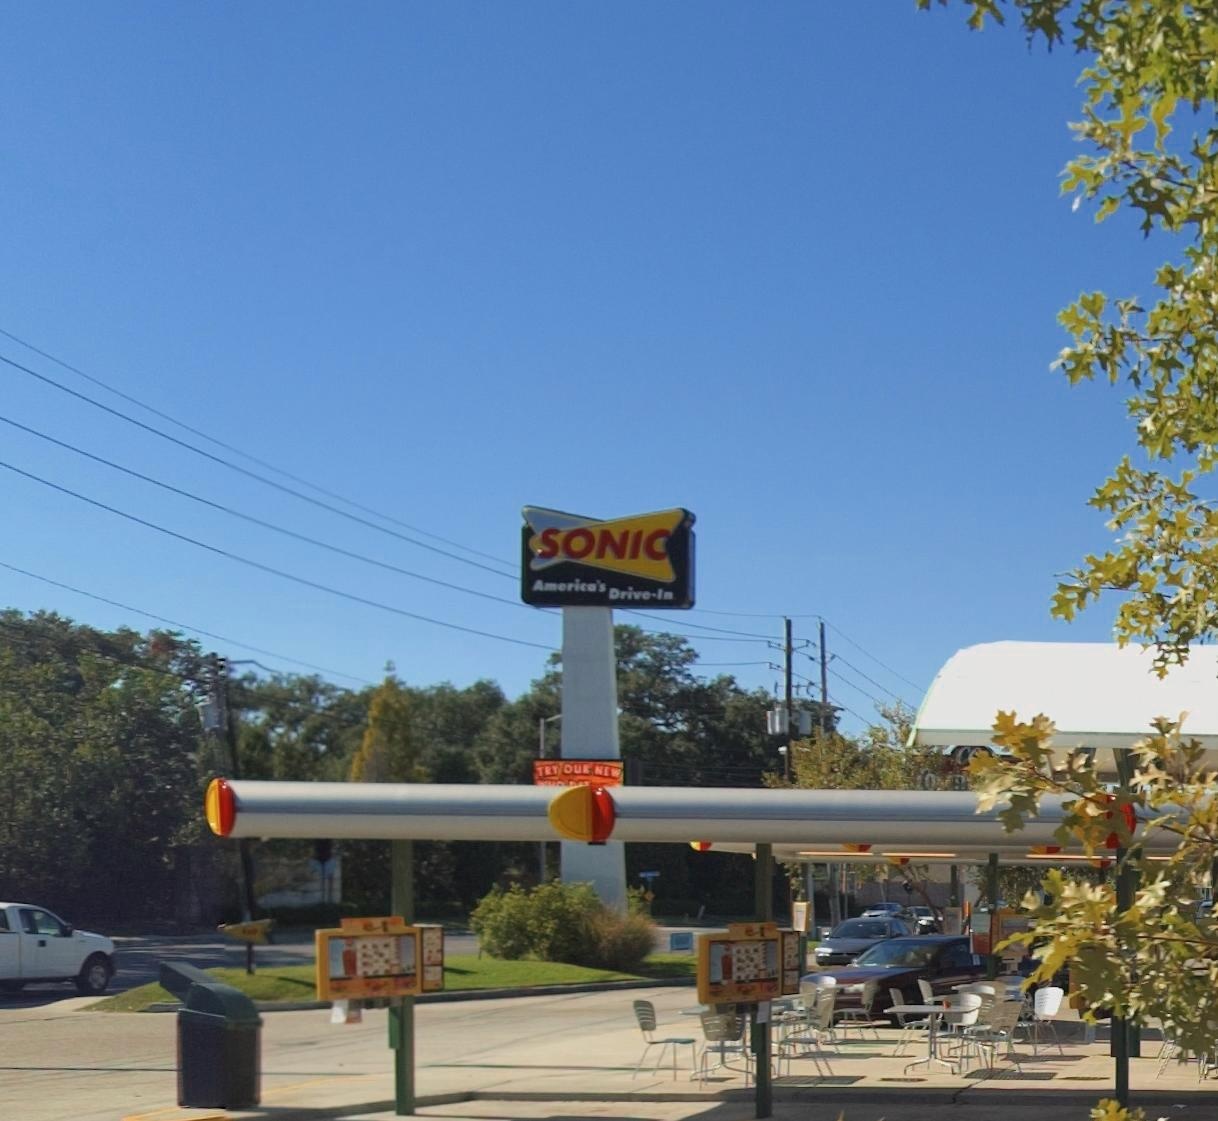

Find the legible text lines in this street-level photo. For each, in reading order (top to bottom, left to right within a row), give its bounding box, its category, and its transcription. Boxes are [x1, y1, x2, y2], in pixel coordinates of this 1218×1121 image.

[537, 526, 671, 561] BusinessName: Sonic
[531, 576, 608, 593] None: America's
[608, 585, 674, 602] None: Drive-In
[536, 762, 623, 779] None: TRY OUR NEW
[240, 926, 260, 936] None: Exit